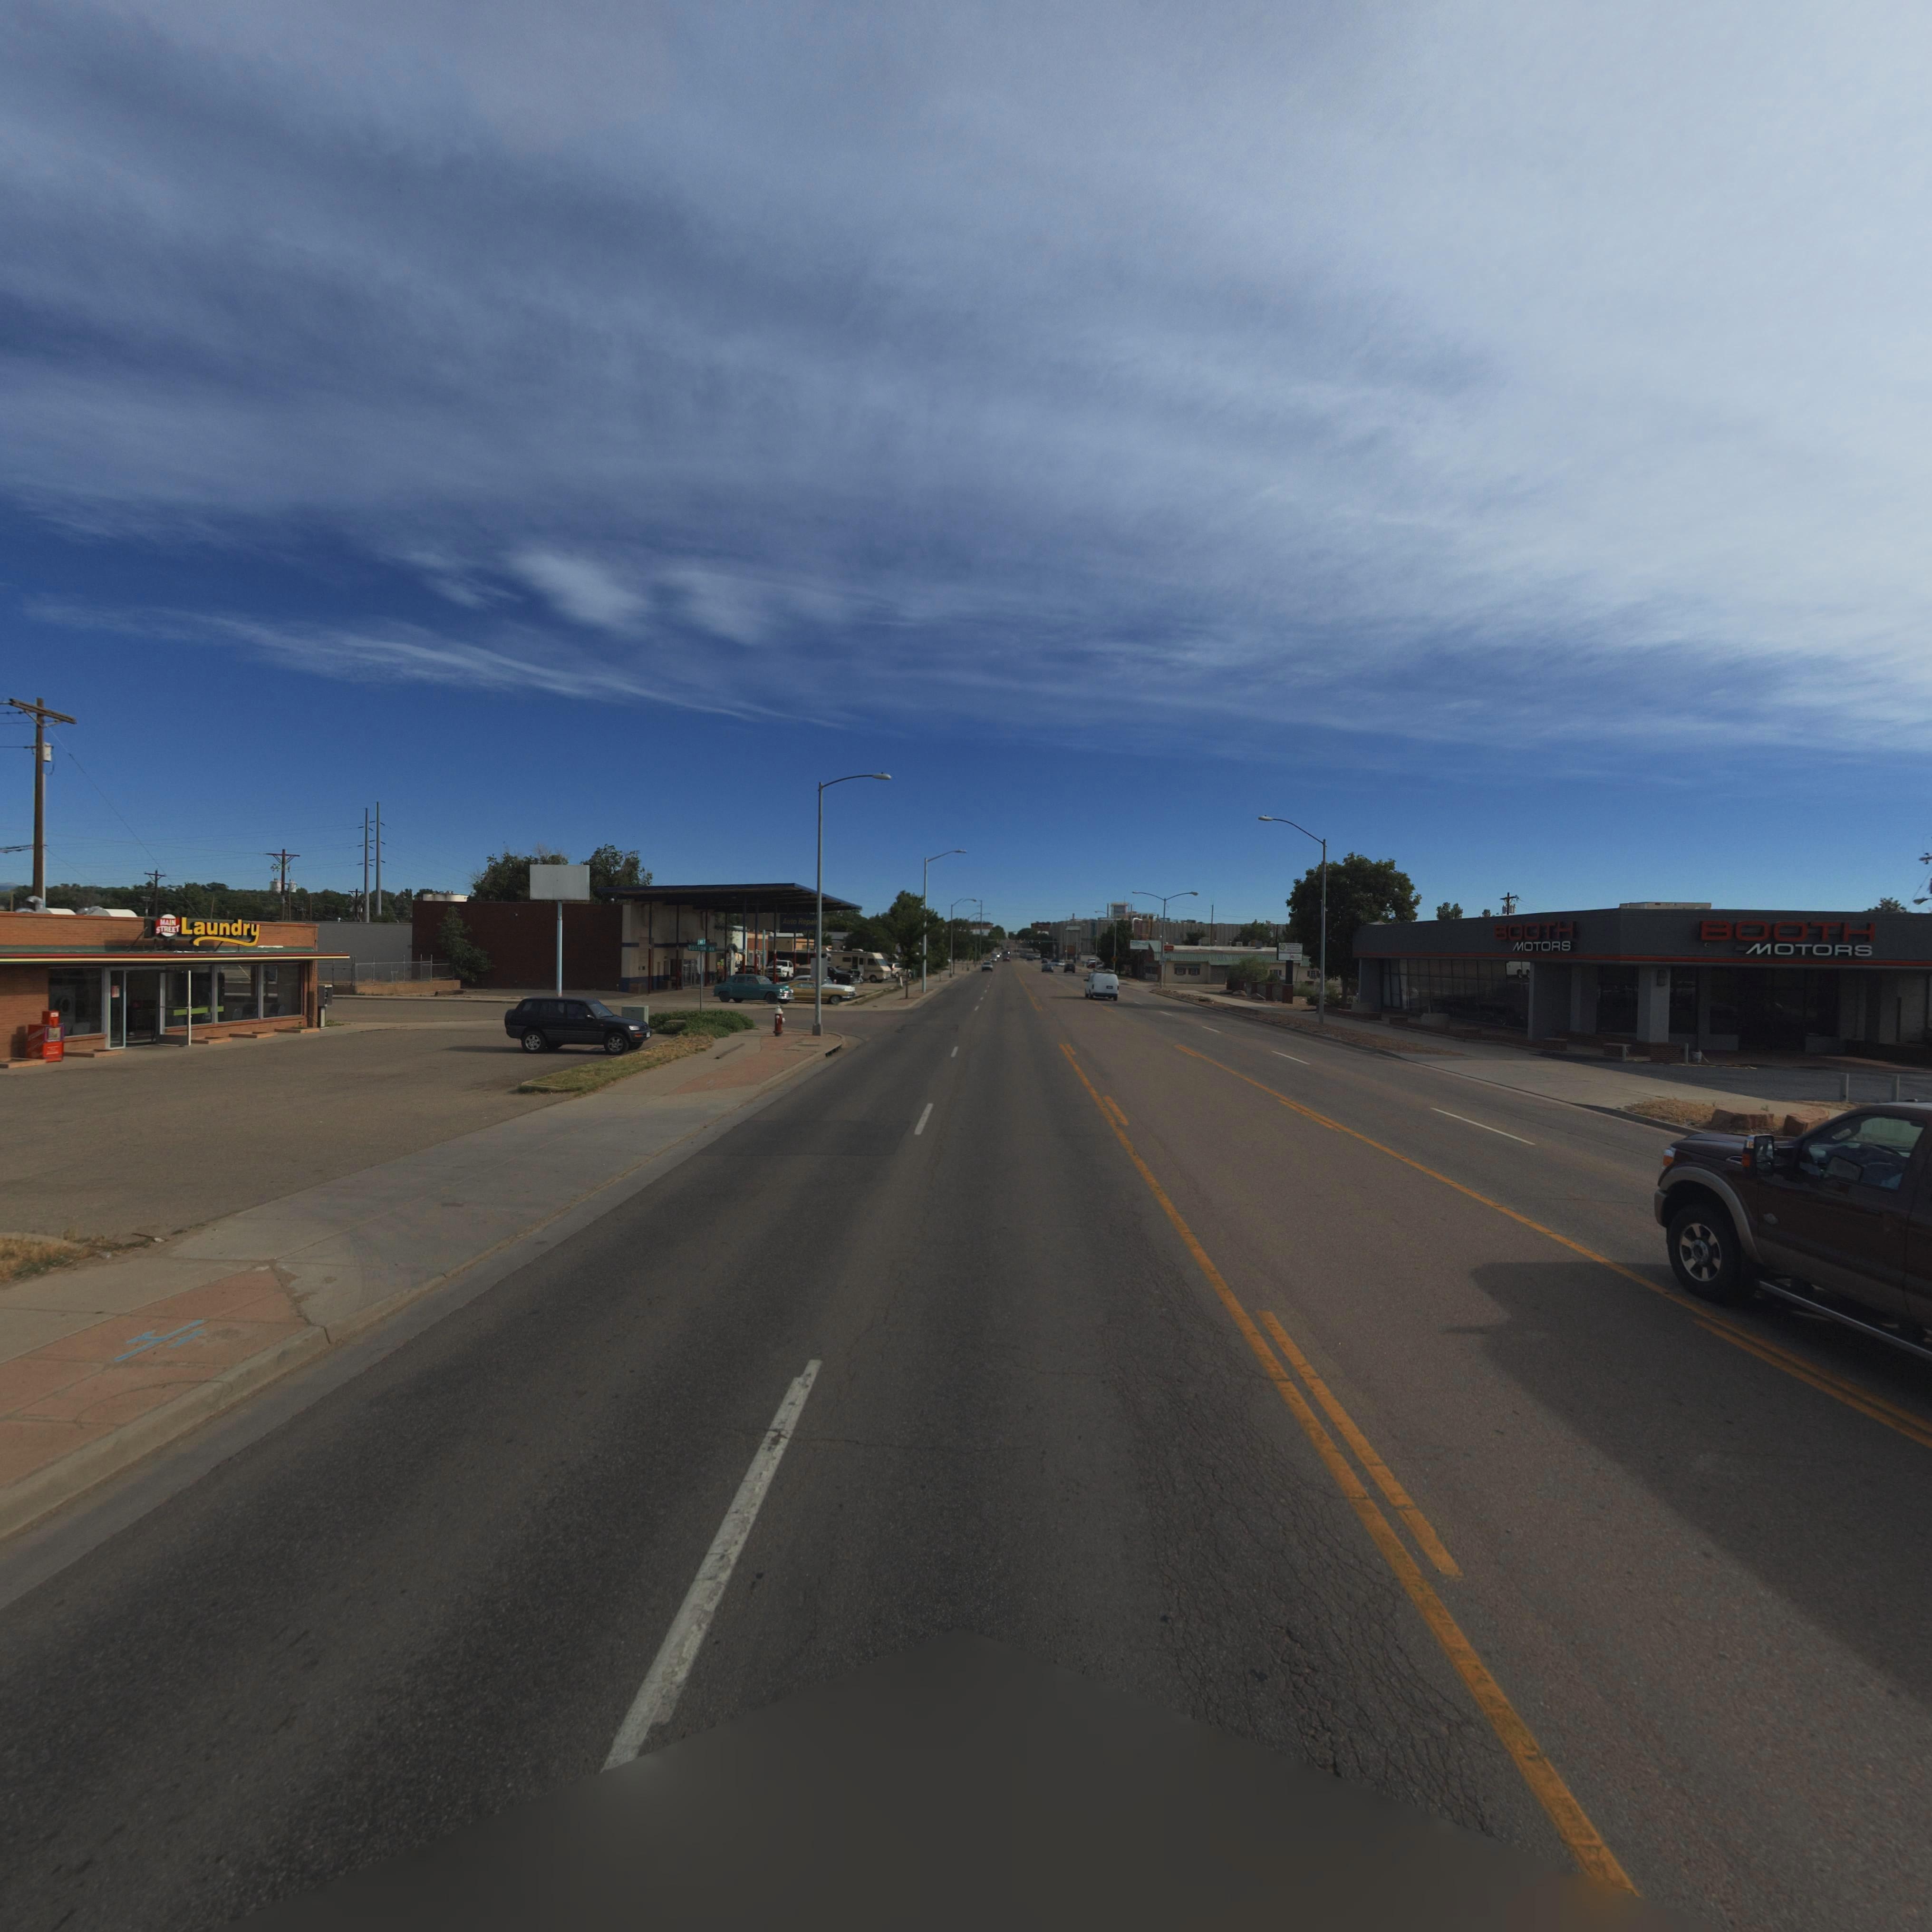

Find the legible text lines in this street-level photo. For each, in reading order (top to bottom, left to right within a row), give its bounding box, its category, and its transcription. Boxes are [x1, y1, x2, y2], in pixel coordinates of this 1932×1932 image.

[160, 919, 176, 926] BusinessName: MAIN
[155, 924, 180, 935] BusinessName: STREET
[181, 917, 259, 943] BusinessName: Laundry
[1494, 921, 1573, 940] BusinessName: BOOTH
[1700, 920, 1874, 942] BusinessName: BOOTH
[688, 945, 715, 951] StreetName: BOSTON *V
[1512, 941, 1570, 951] BusinessName: MOTORS
[1744, 943, 1873, 956] BusinessName: MOTORS